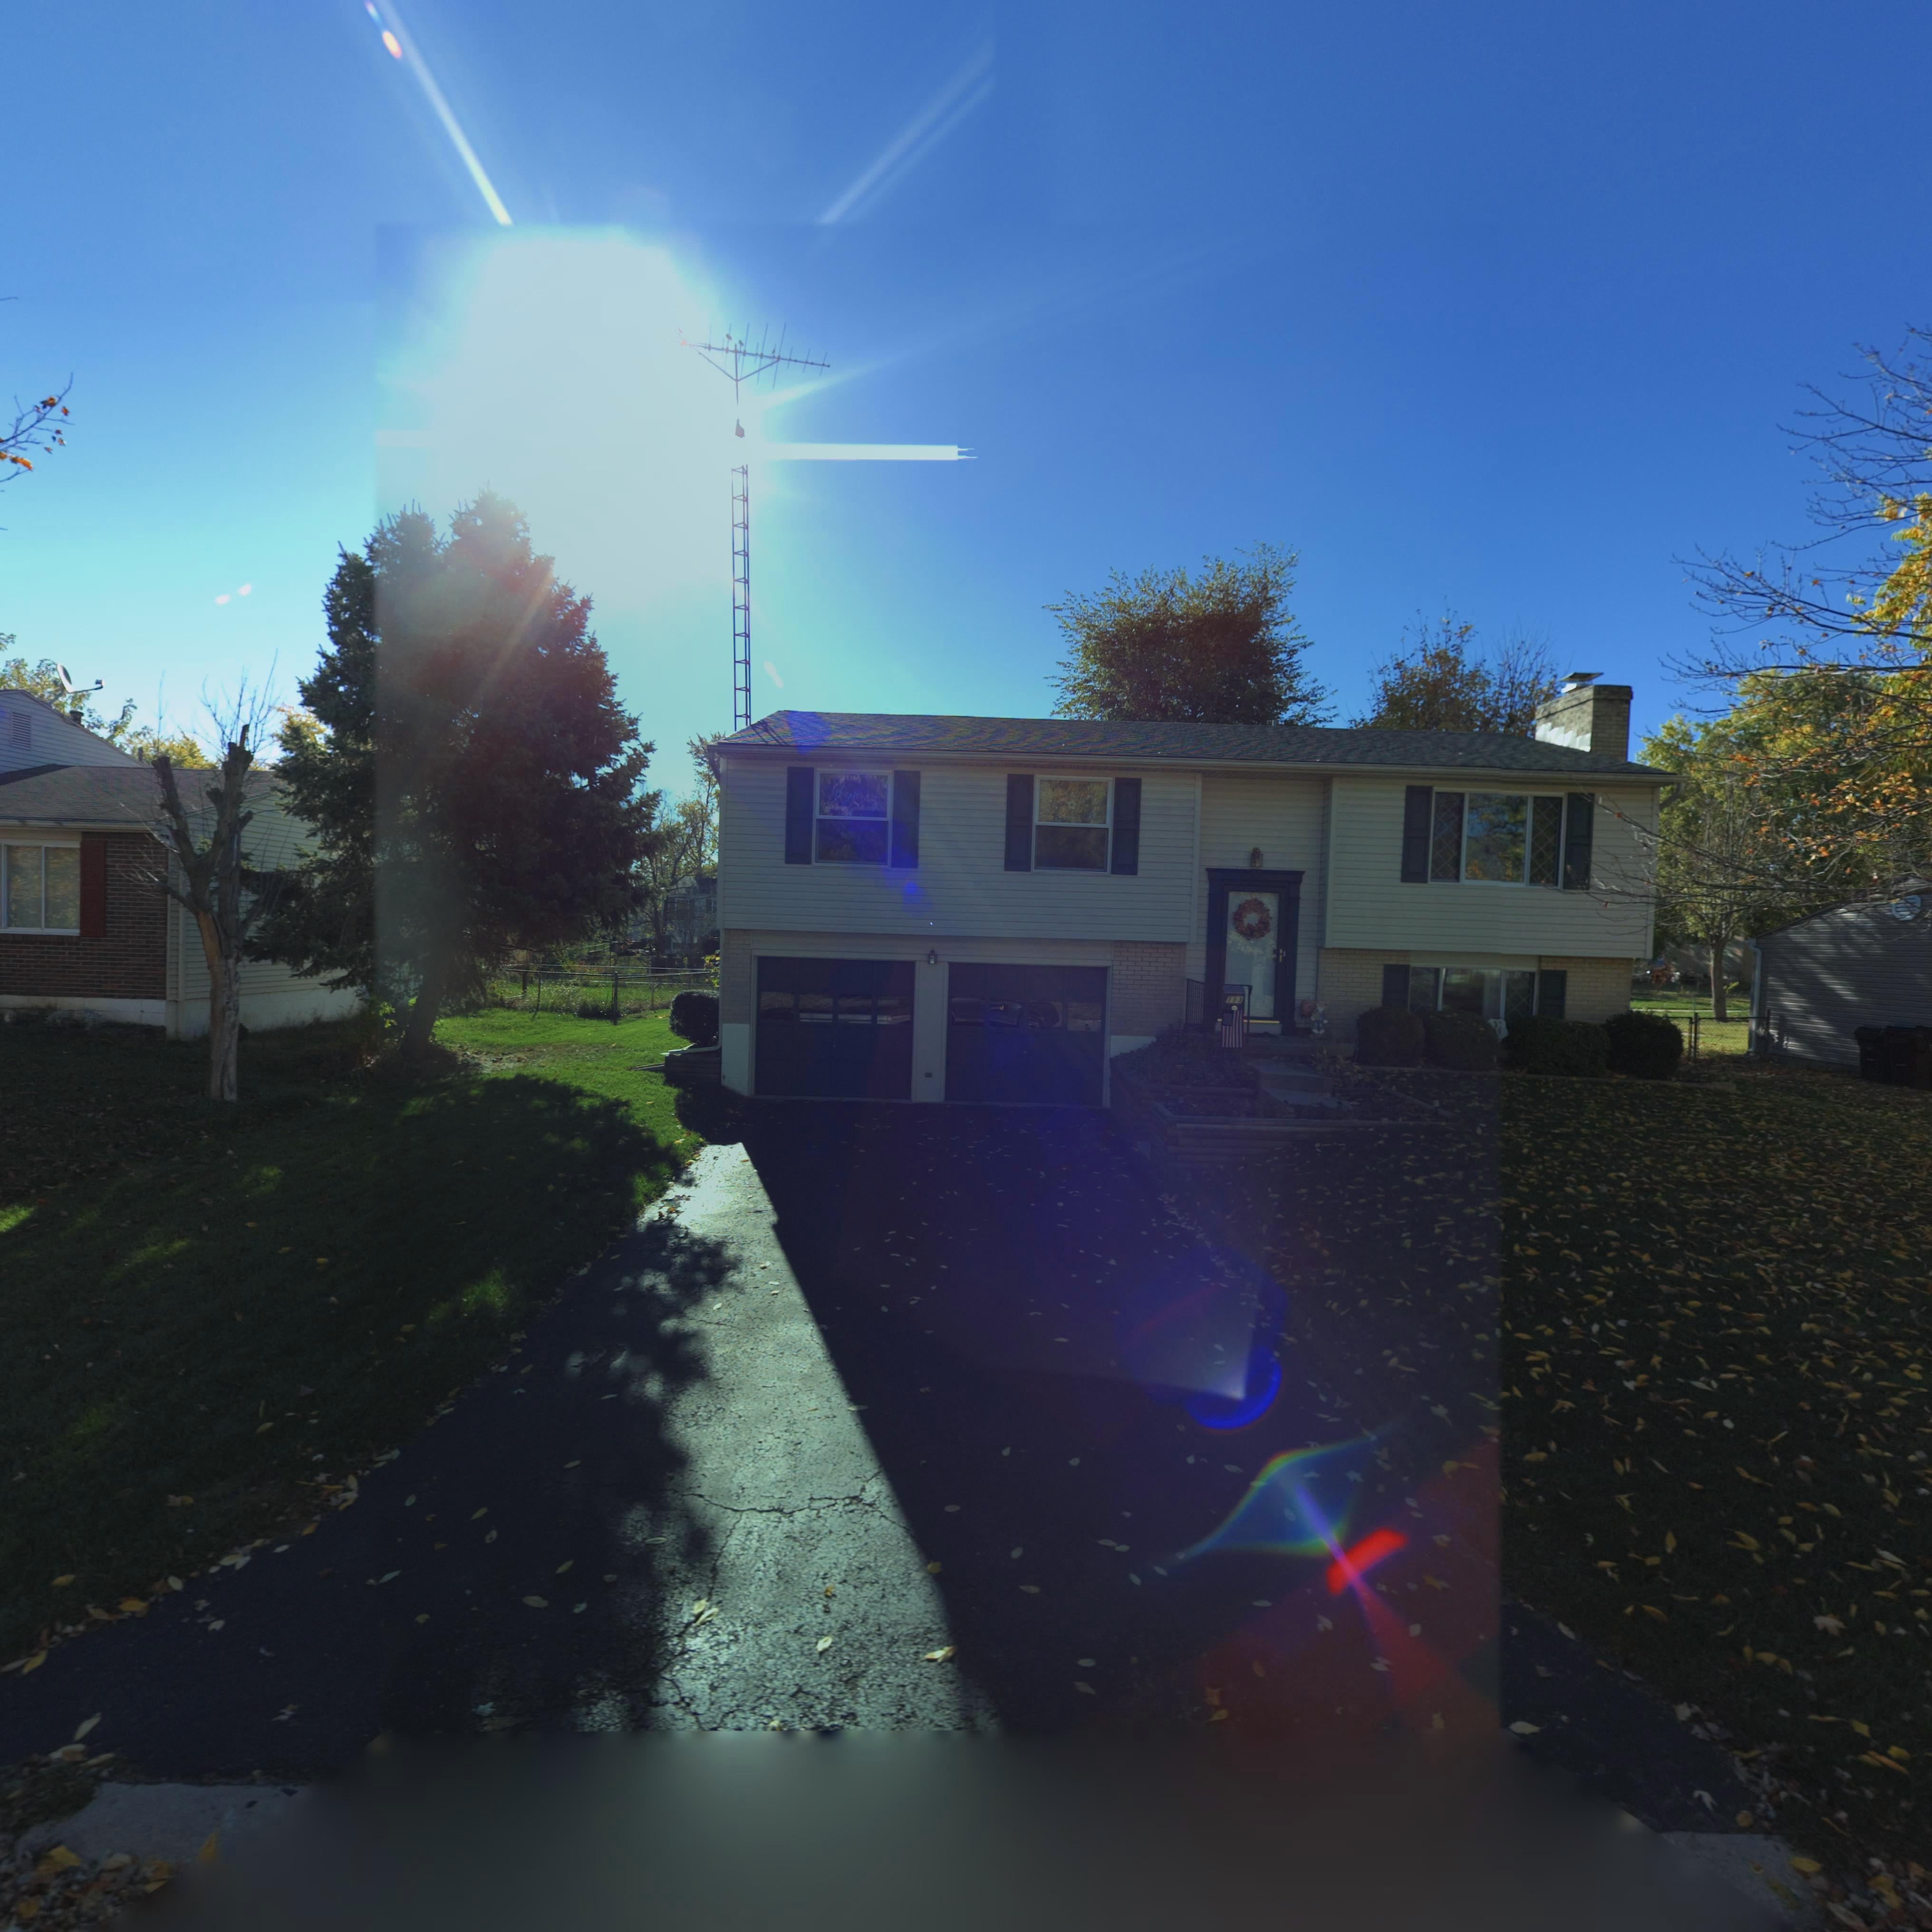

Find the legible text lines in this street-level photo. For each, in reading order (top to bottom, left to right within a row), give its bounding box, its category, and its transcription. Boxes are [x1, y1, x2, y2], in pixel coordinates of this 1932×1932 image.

[1227, 996, 1243, 1003] StreetNumber: 113